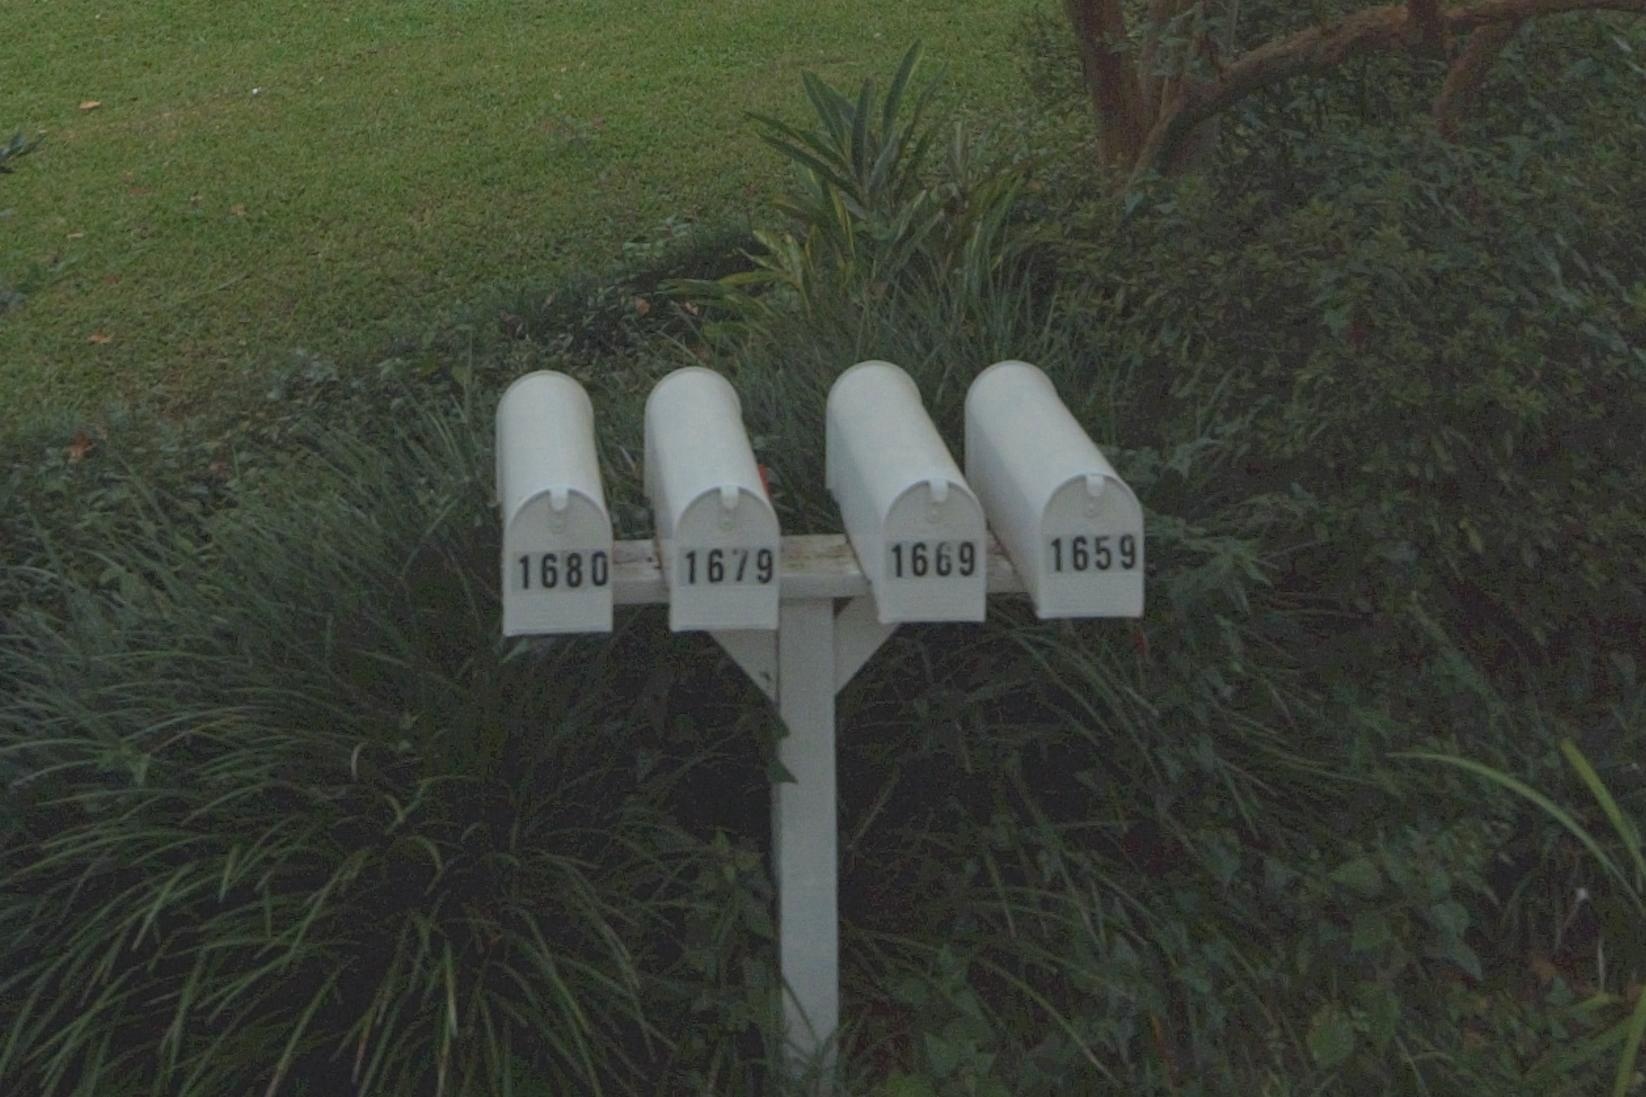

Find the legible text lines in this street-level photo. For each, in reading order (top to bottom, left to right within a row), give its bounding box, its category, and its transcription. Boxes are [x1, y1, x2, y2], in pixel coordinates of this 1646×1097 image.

[515, 549, 610, 591] StreetNumber: 1680
[683, 548, 775, 587] StreetNumber: 1679
[888, 540, 976, 580] StreetNumber: 1669
[1050, 532, 1139, 573] StreetNumber: 1659